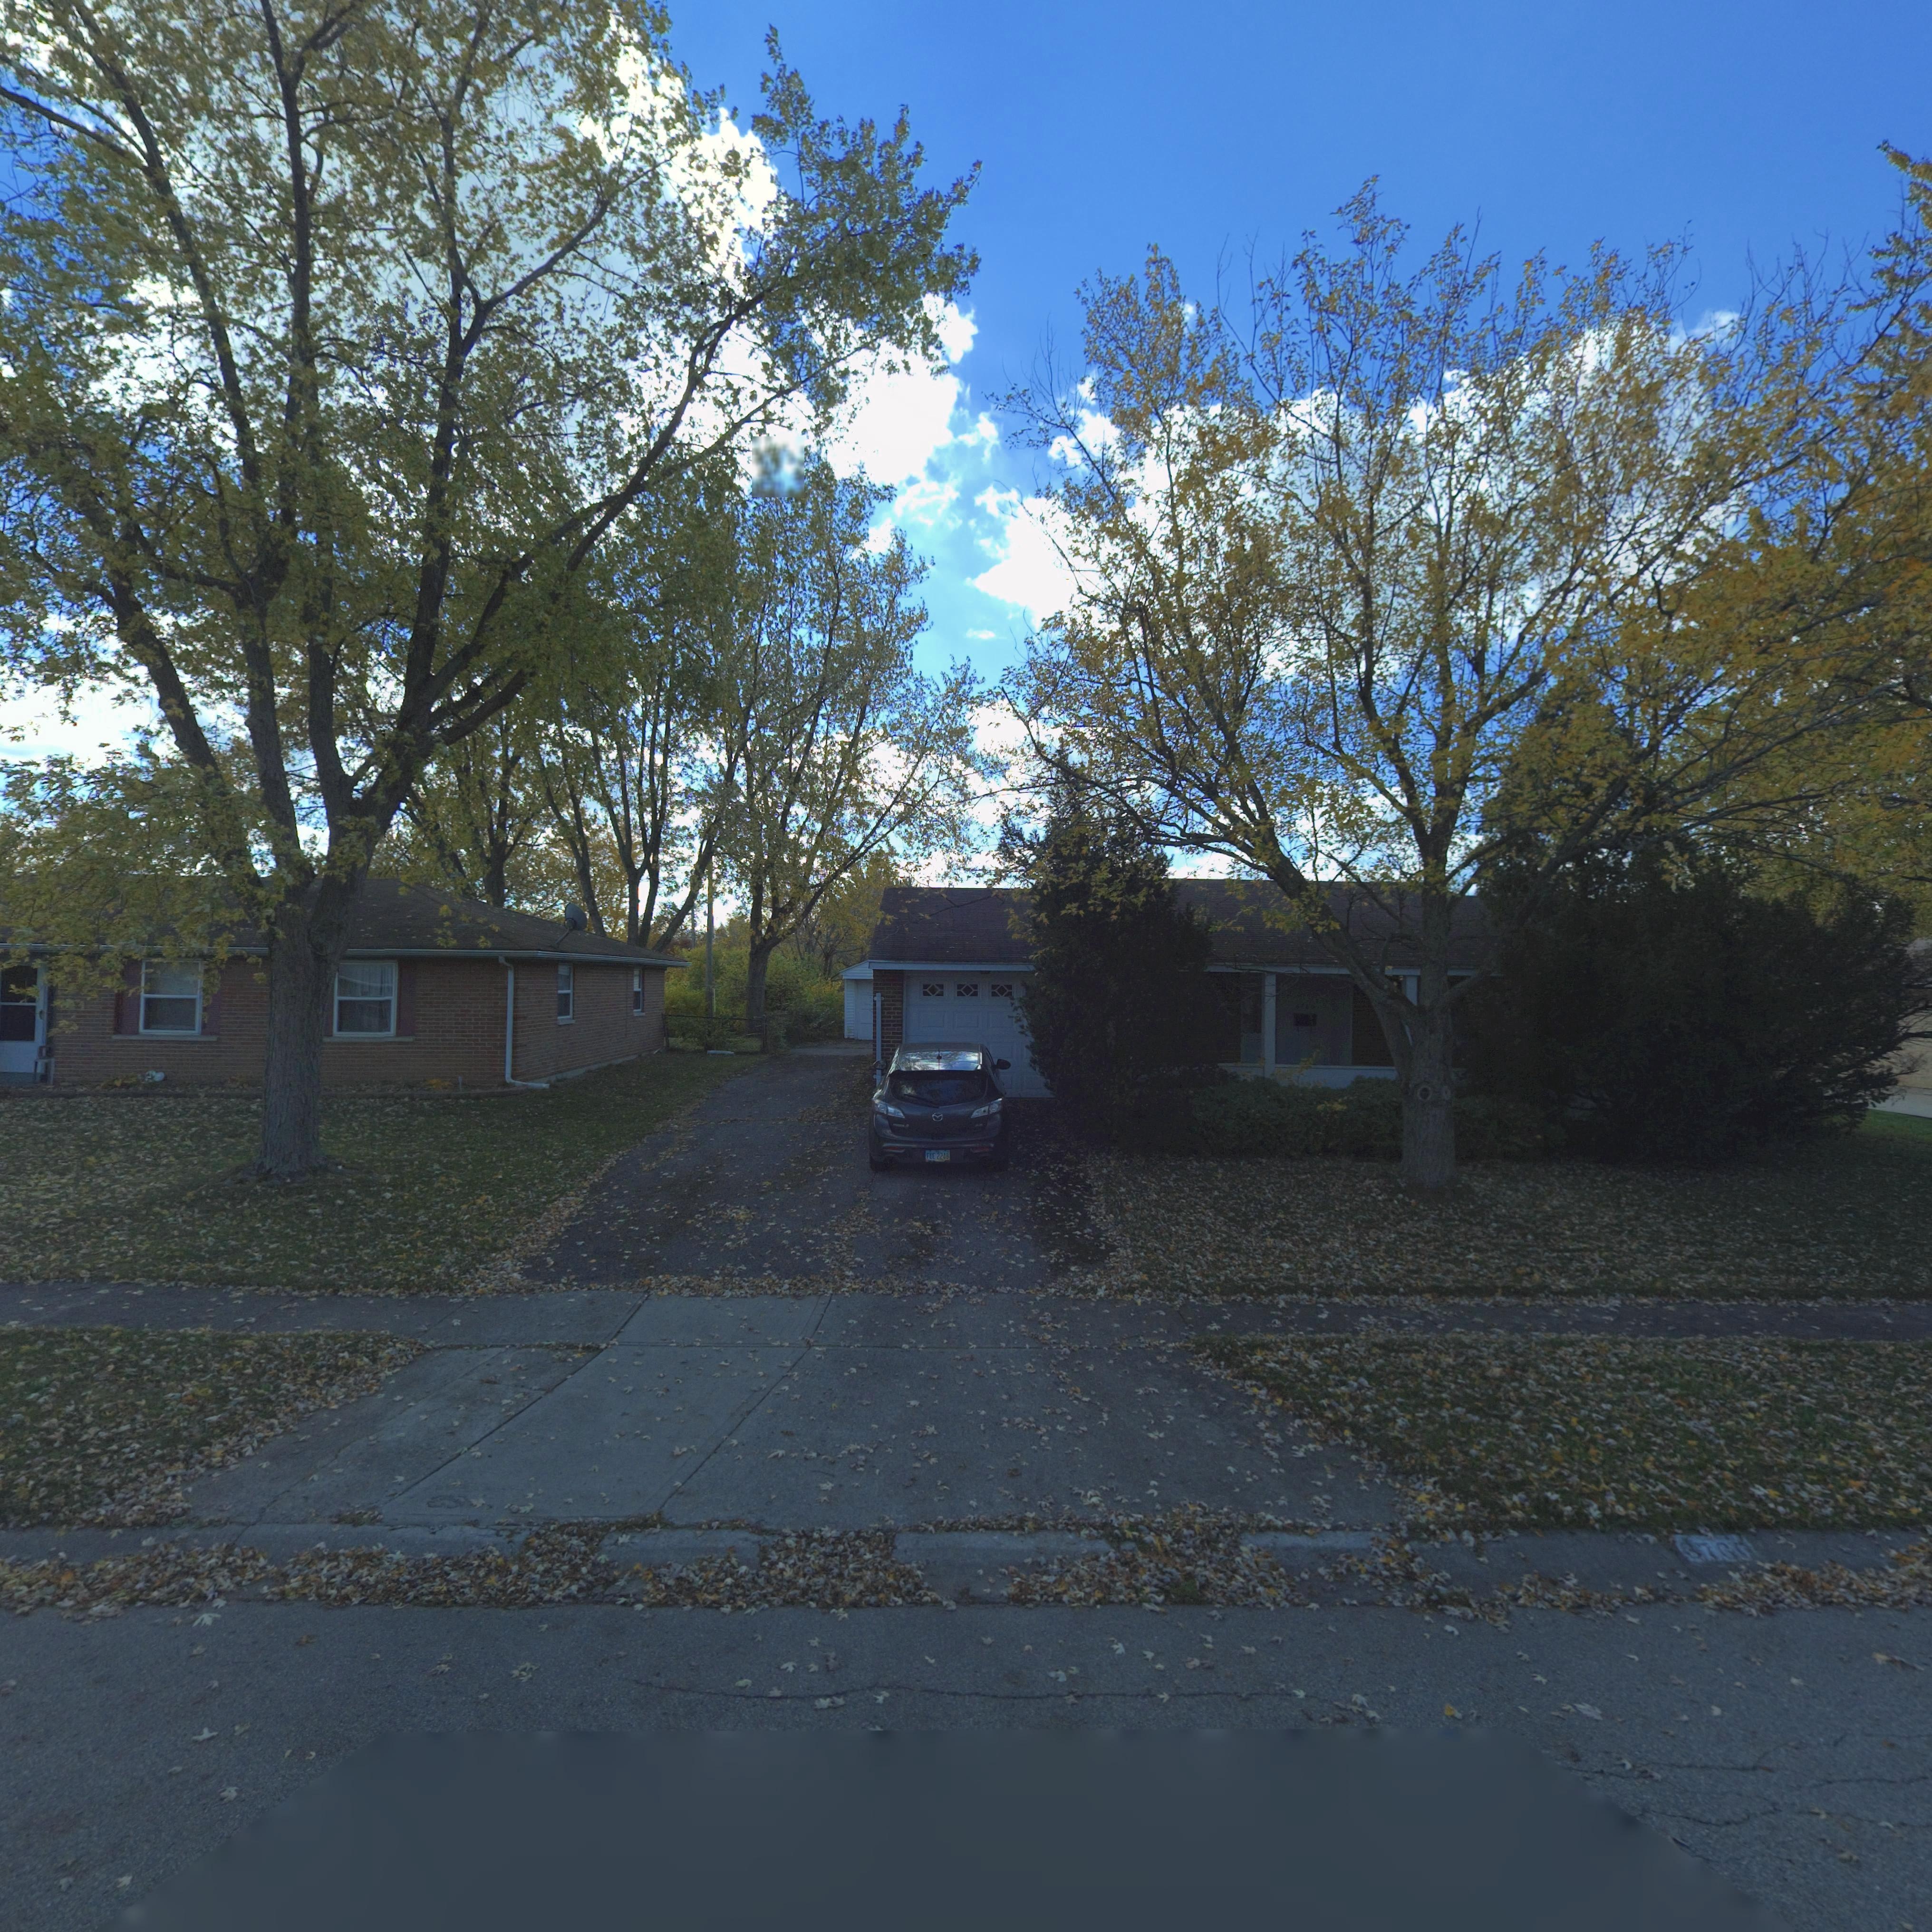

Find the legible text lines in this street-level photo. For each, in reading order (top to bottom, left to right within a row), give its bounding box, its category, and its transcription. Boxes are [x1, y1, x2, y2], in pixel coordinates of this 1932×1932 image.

[1294, 1003, 1316, 1010] StreetNumber: 6760
[1679, 1541, 1760, 1561] StreetNumber: 6760